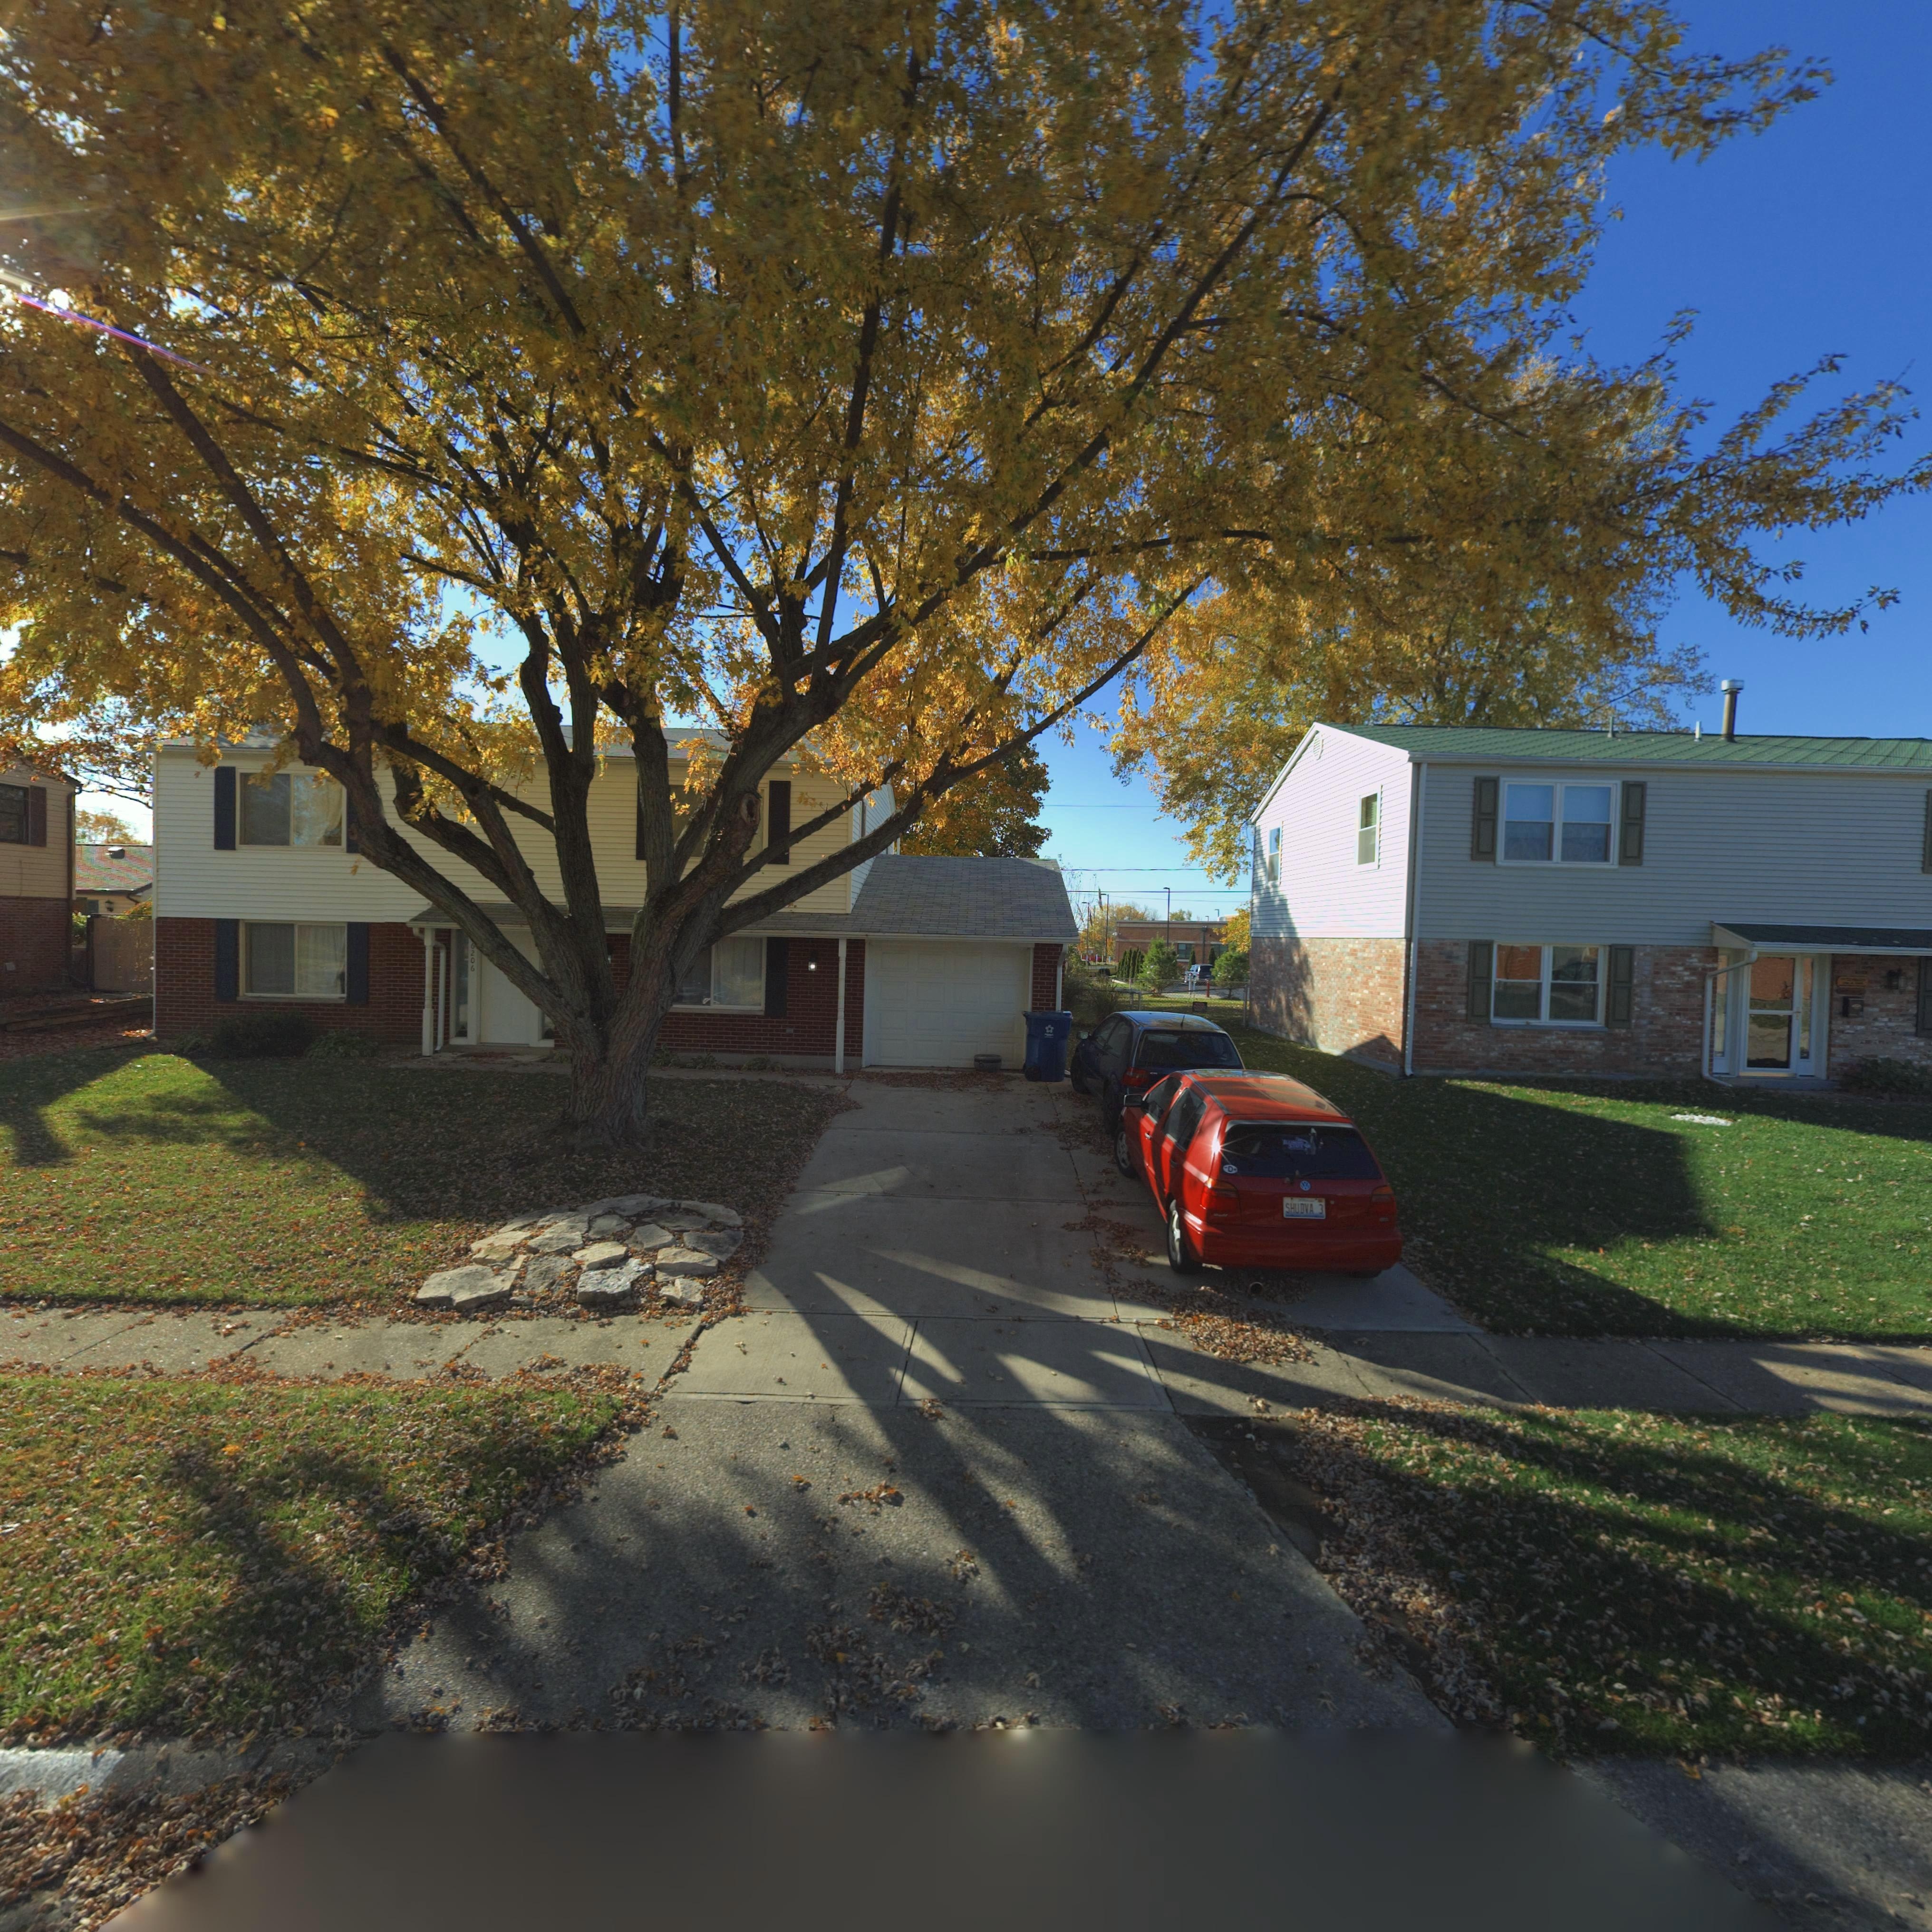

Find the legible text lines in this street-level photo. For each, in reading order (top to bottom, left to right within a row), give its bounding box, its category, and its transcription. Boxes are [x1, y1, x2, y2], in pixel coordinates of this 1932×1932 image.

[470, 941, 476, 973] StreetNumber: 6206